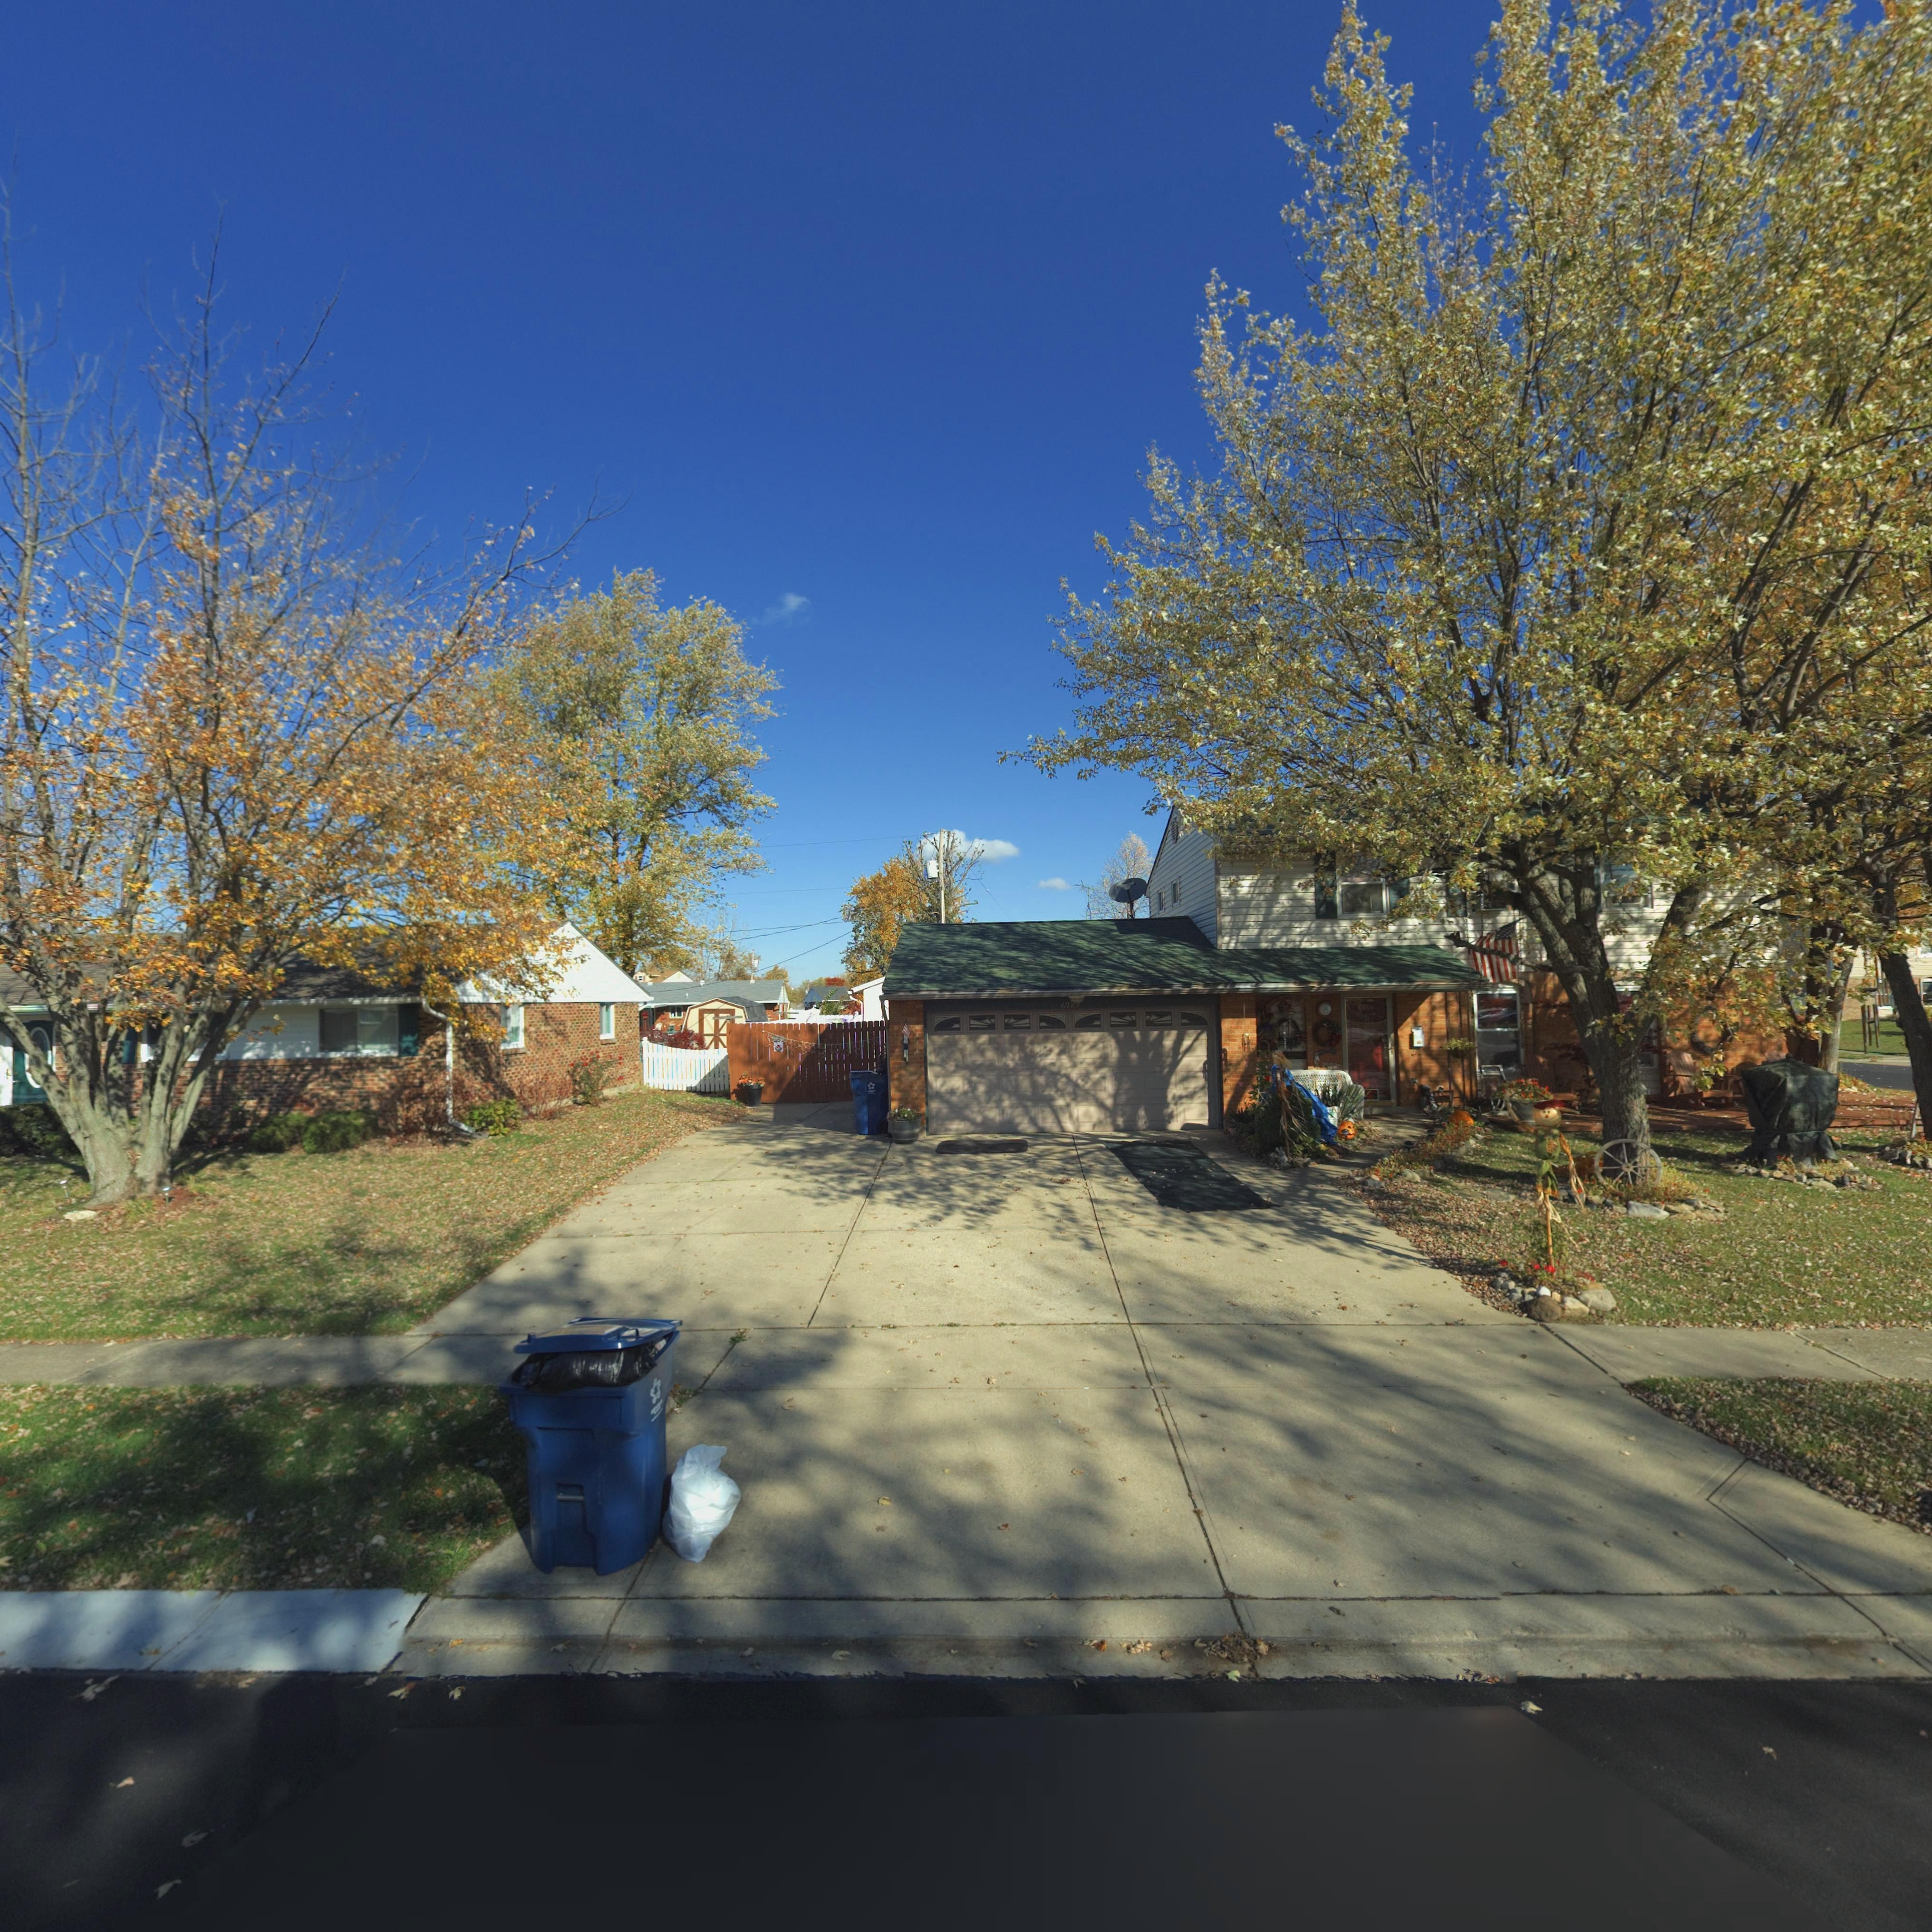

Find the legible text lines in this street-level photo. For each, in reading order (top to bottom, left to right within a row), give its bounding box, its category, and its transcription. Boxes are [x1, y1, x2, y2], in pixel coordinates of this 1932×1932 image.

[1060, 1001, 1081, 1009] StreetNumber: 6989